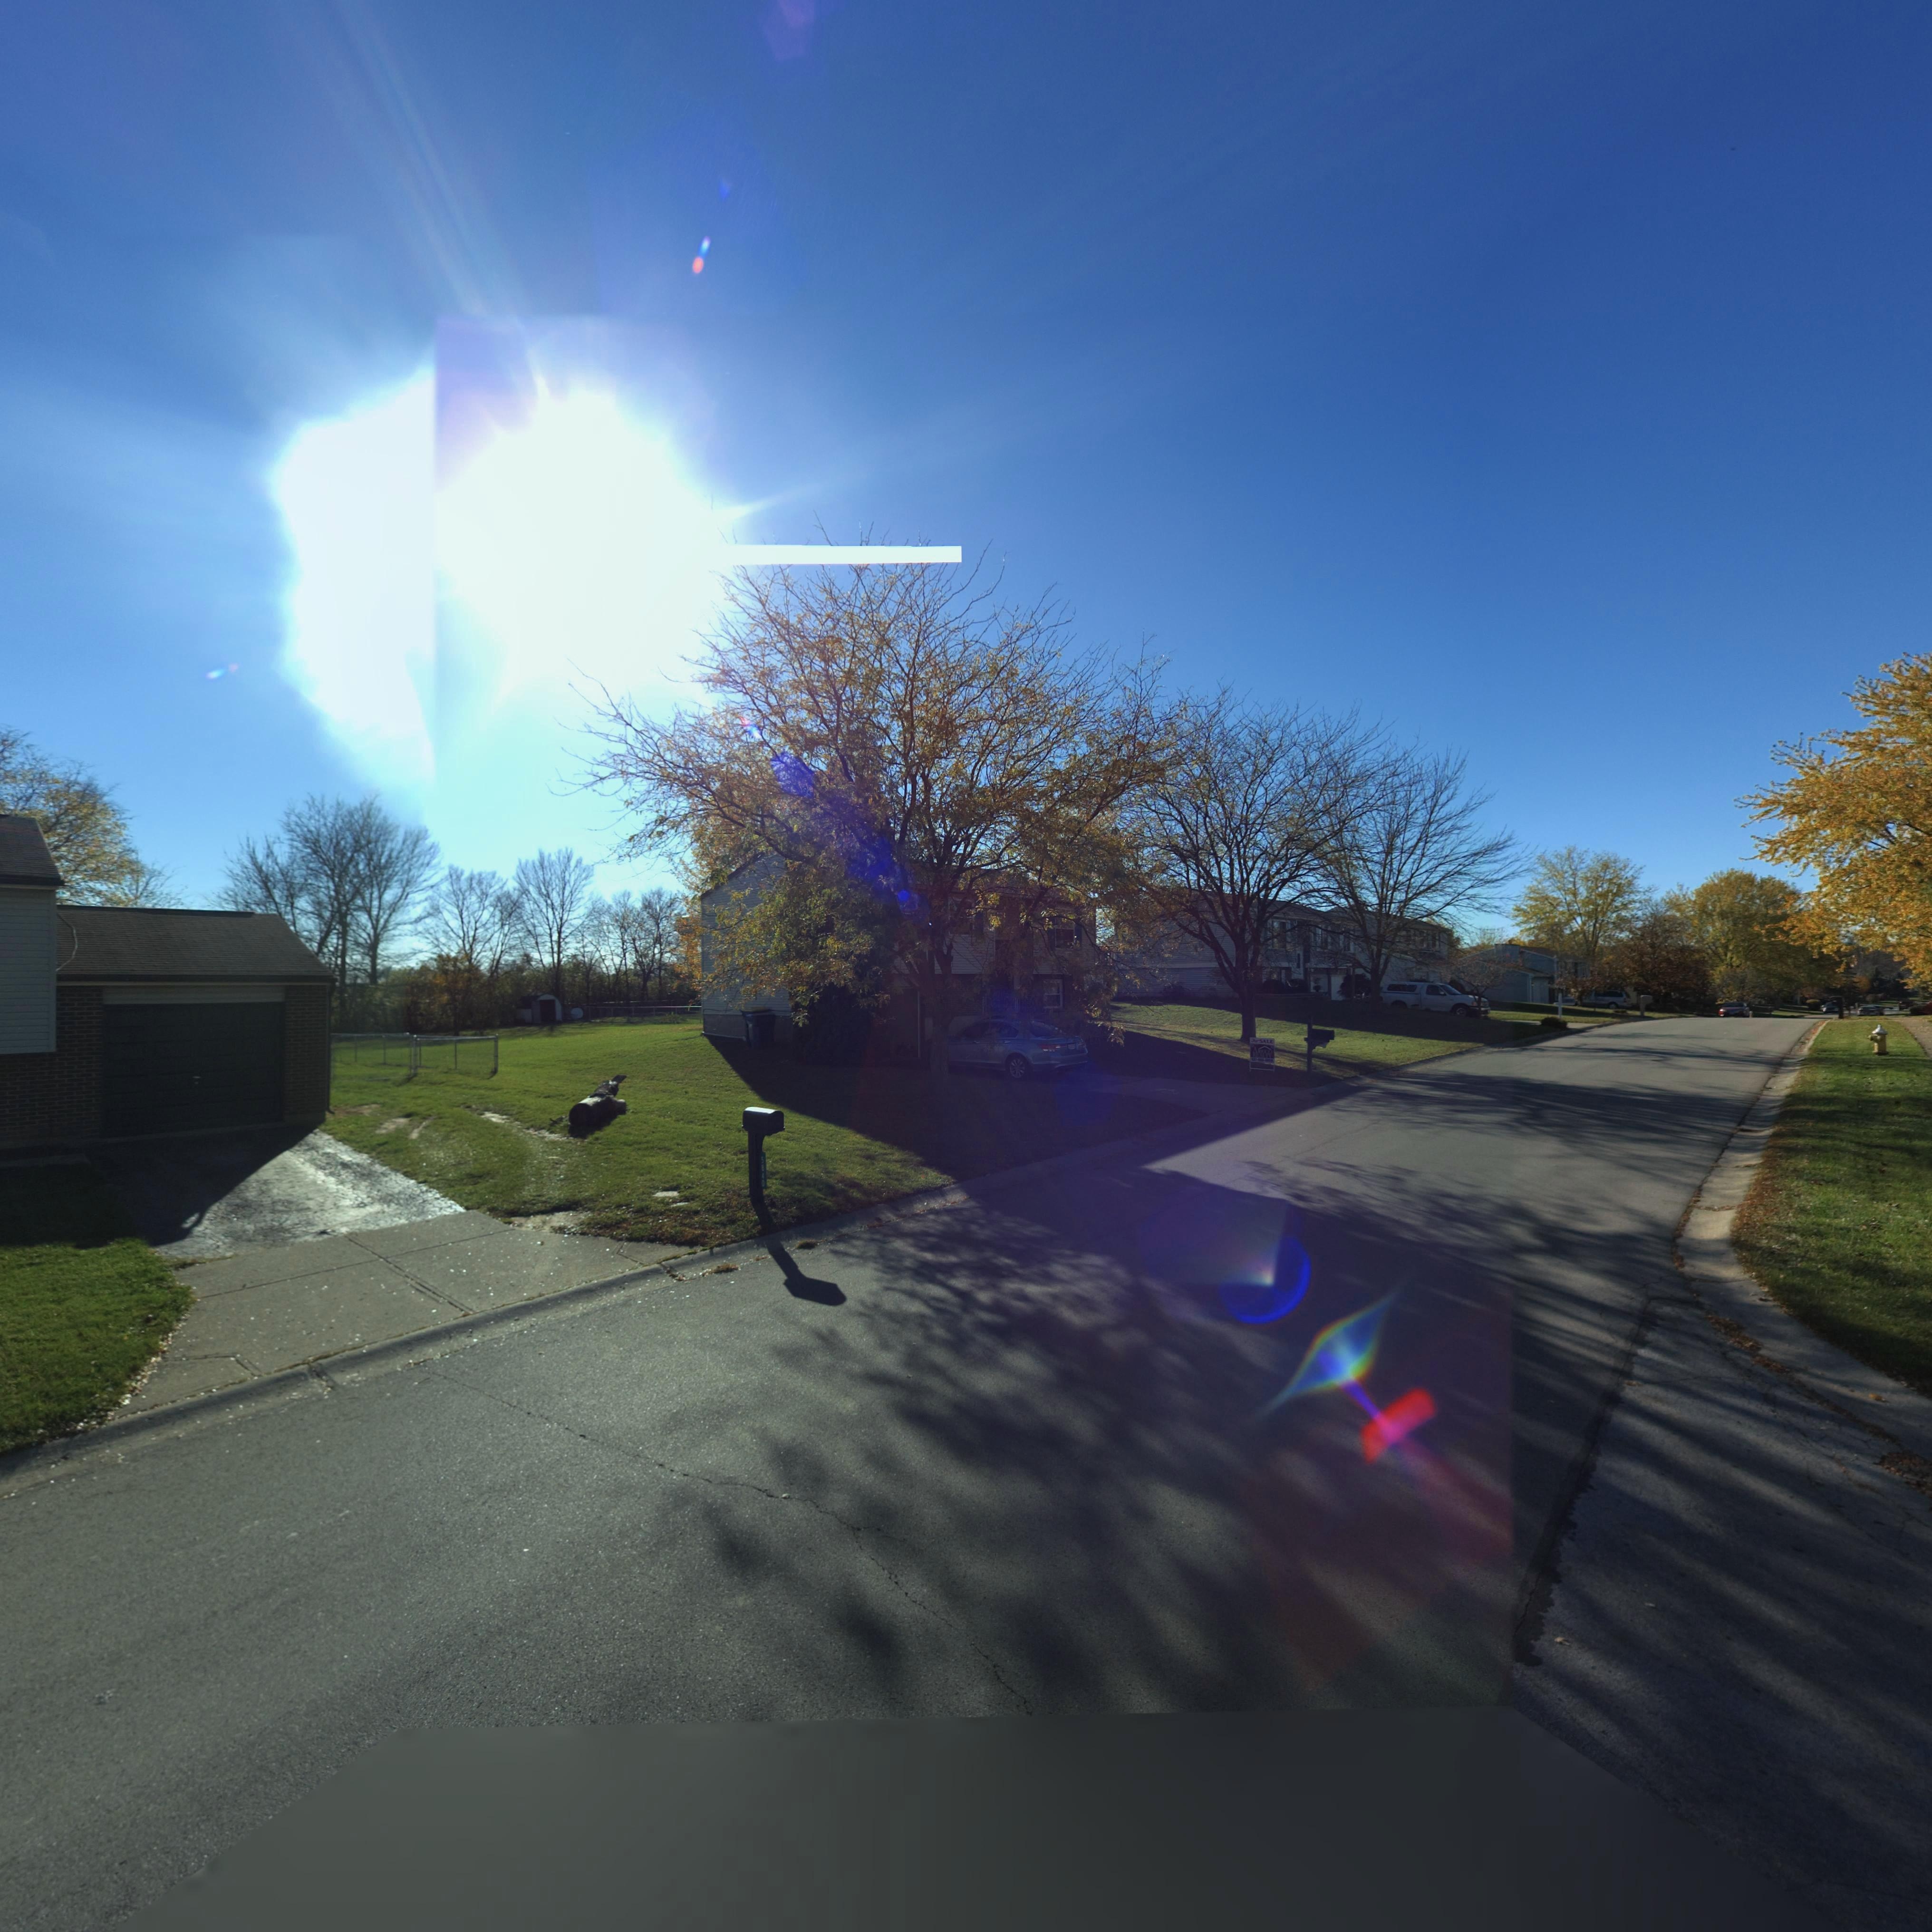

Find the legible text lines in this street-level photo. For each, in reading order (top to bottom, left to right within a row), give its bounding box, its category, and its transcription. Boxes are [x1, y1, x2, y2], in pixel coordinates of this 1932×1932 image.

[760, 1155, 766, 1188] StreetNumber: 5840